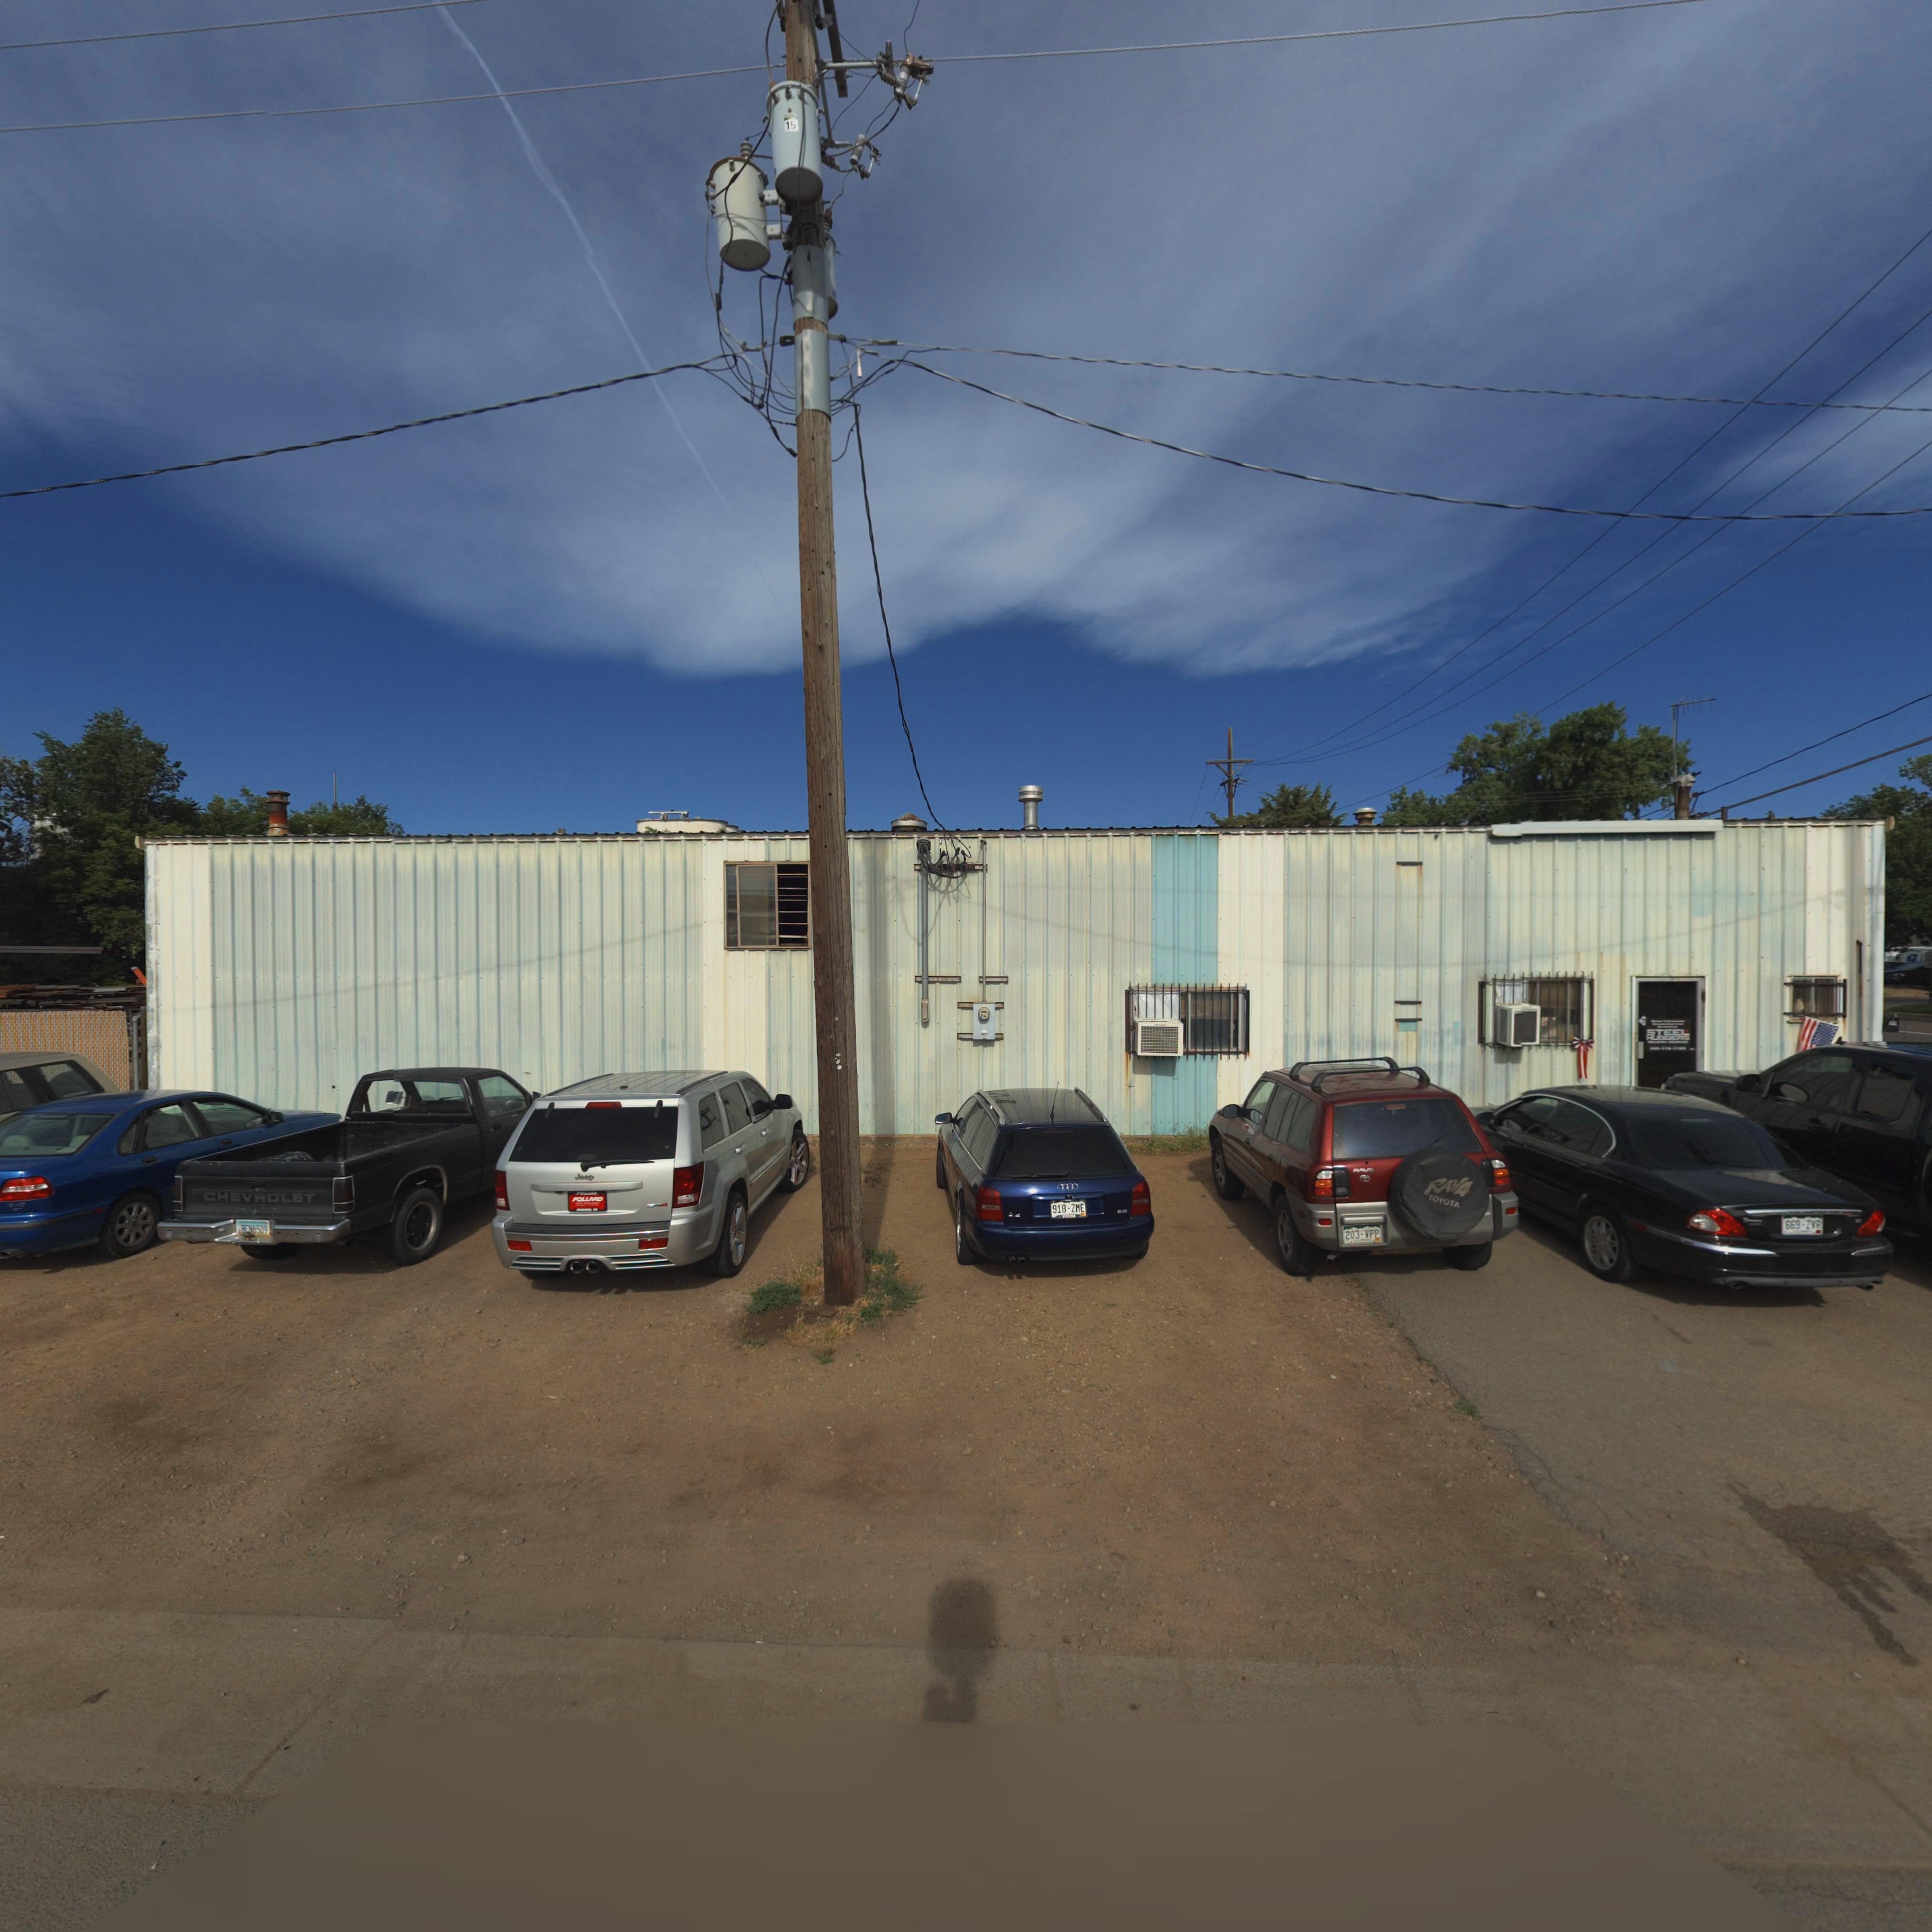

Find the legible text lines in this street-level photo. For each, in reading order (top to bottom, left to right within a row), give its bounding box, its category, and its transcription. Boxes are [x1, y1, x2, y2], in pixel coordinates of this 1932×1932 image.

[1645, 1028, 1690, 1035] BusinessName: STEEL
[1645, 1034, 1690, 1040] BusinessName: HUGGERS